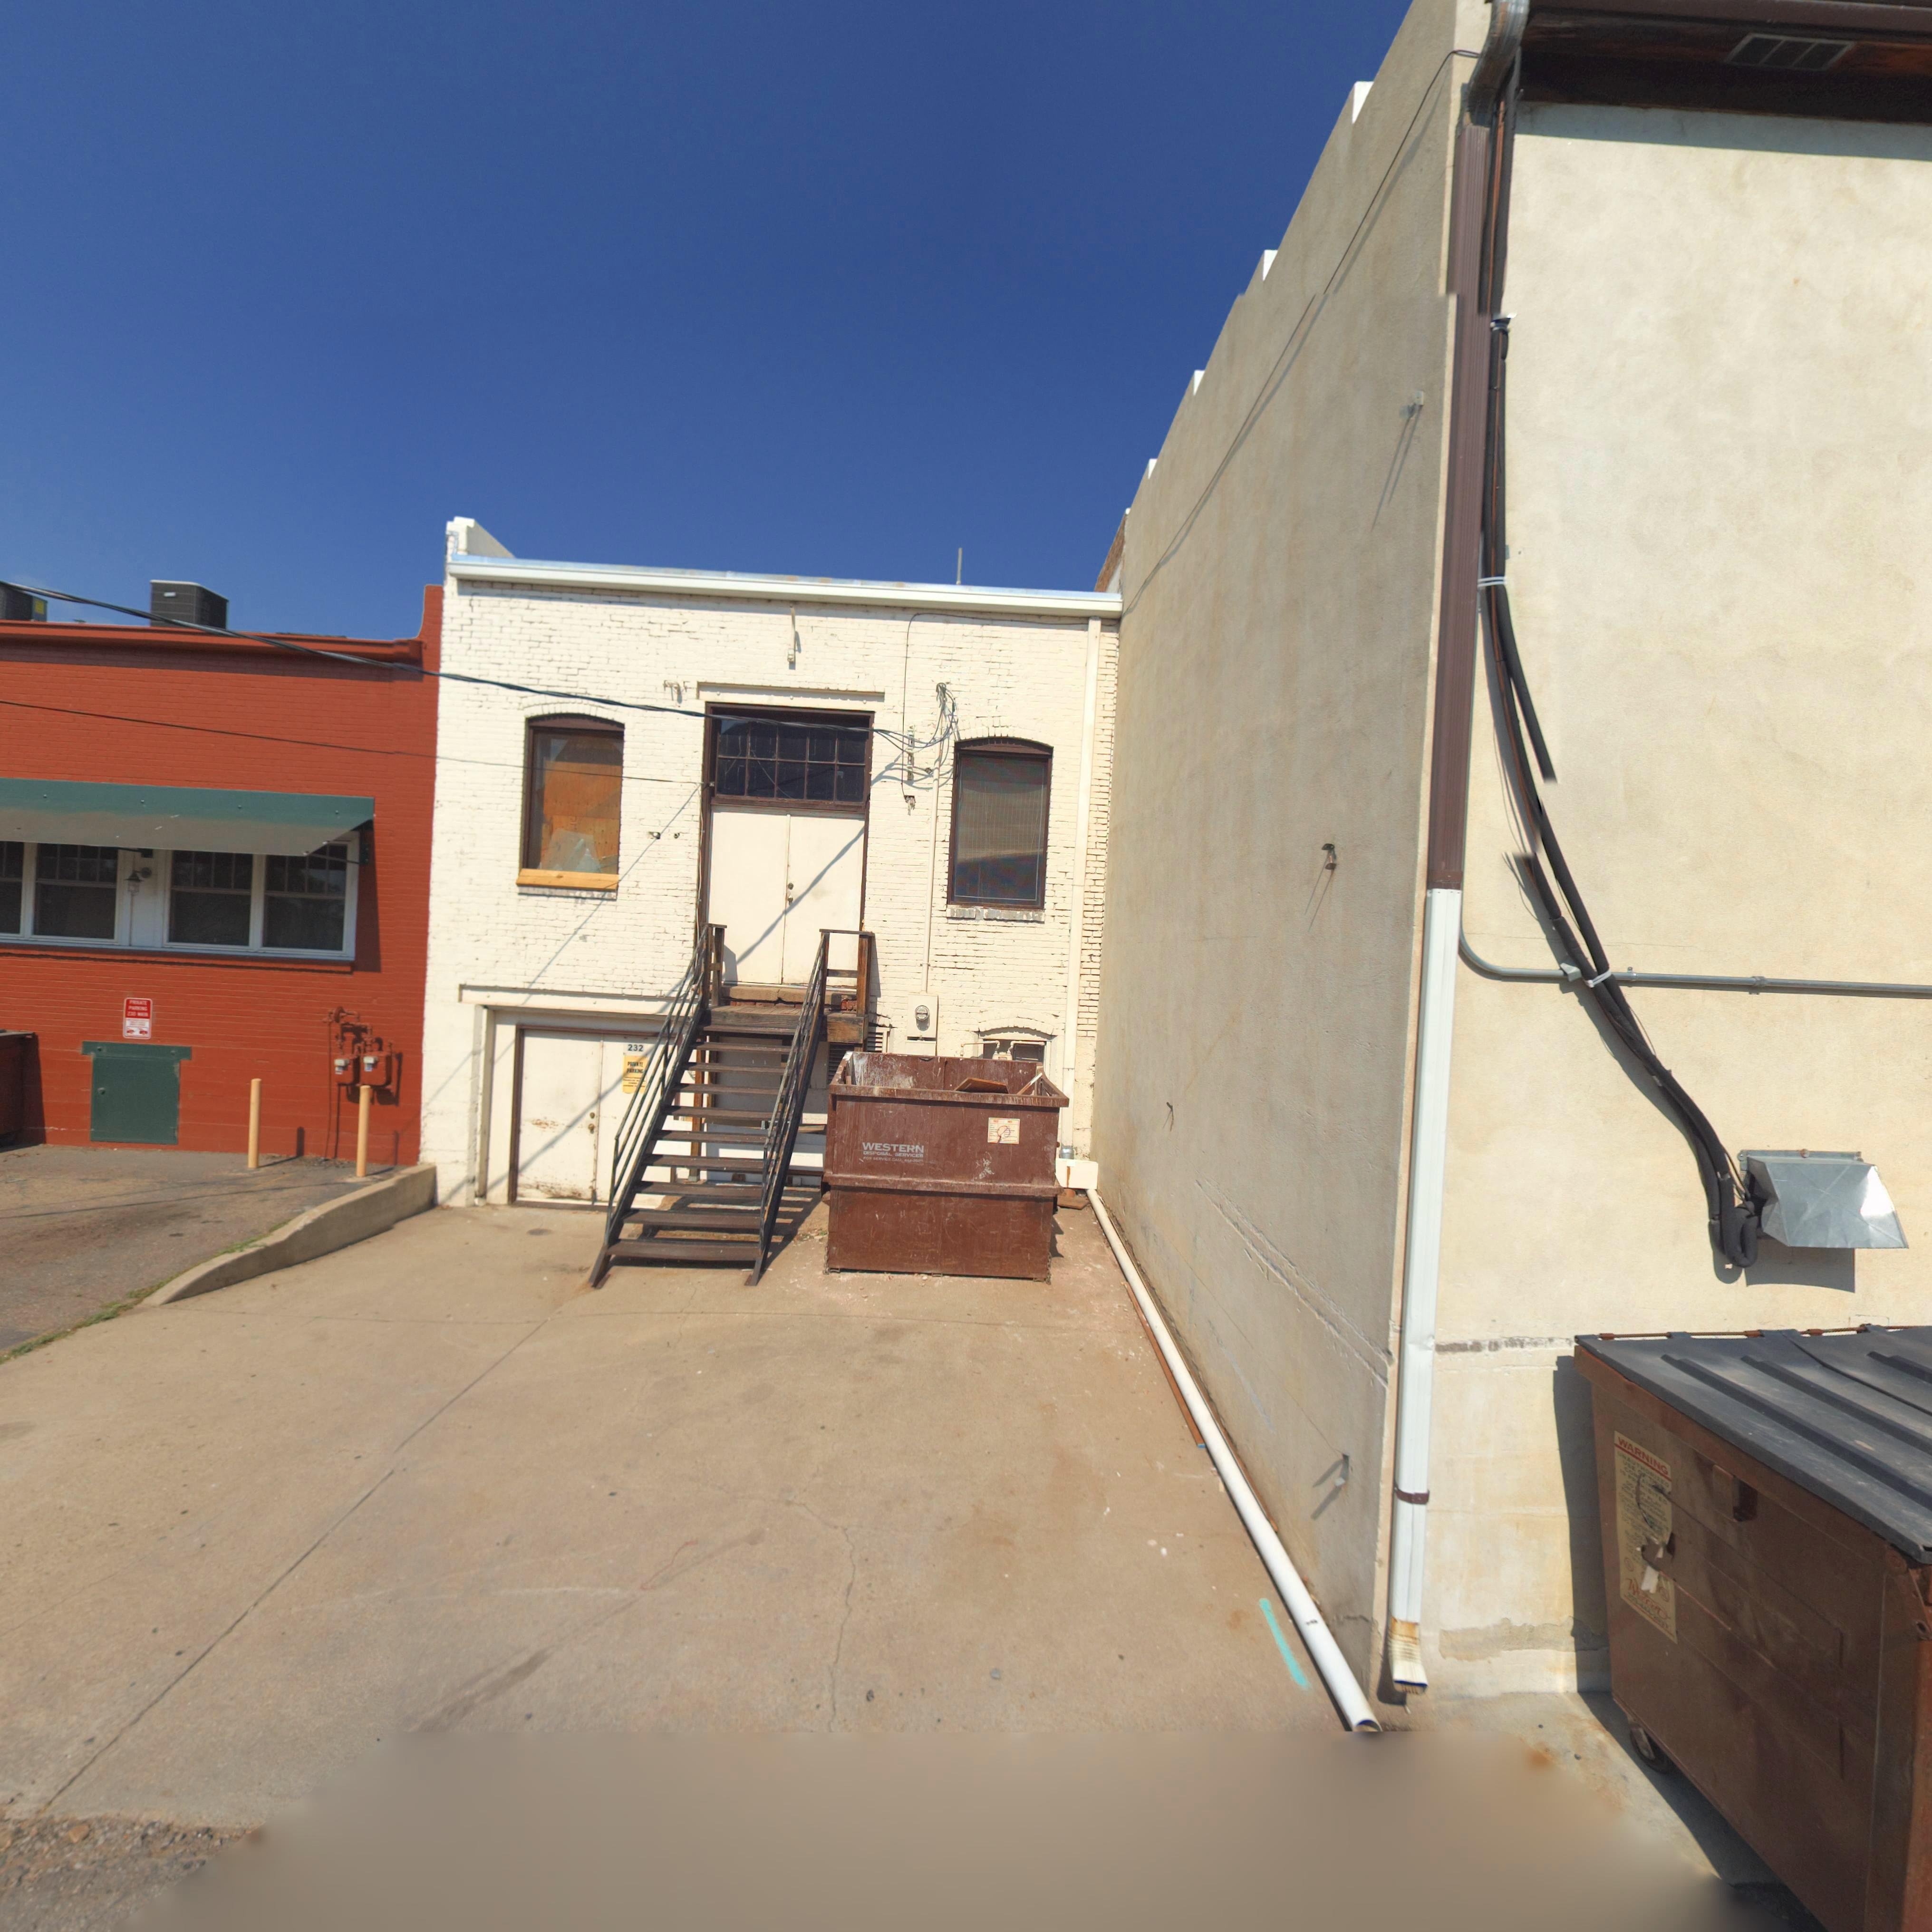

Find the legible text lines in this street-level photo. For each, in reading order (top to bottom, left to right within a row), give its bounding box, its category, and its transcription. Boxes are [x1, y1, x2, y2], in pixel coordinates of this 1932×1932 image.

[127, 1011, 136, 1016] StreetNumber: 230